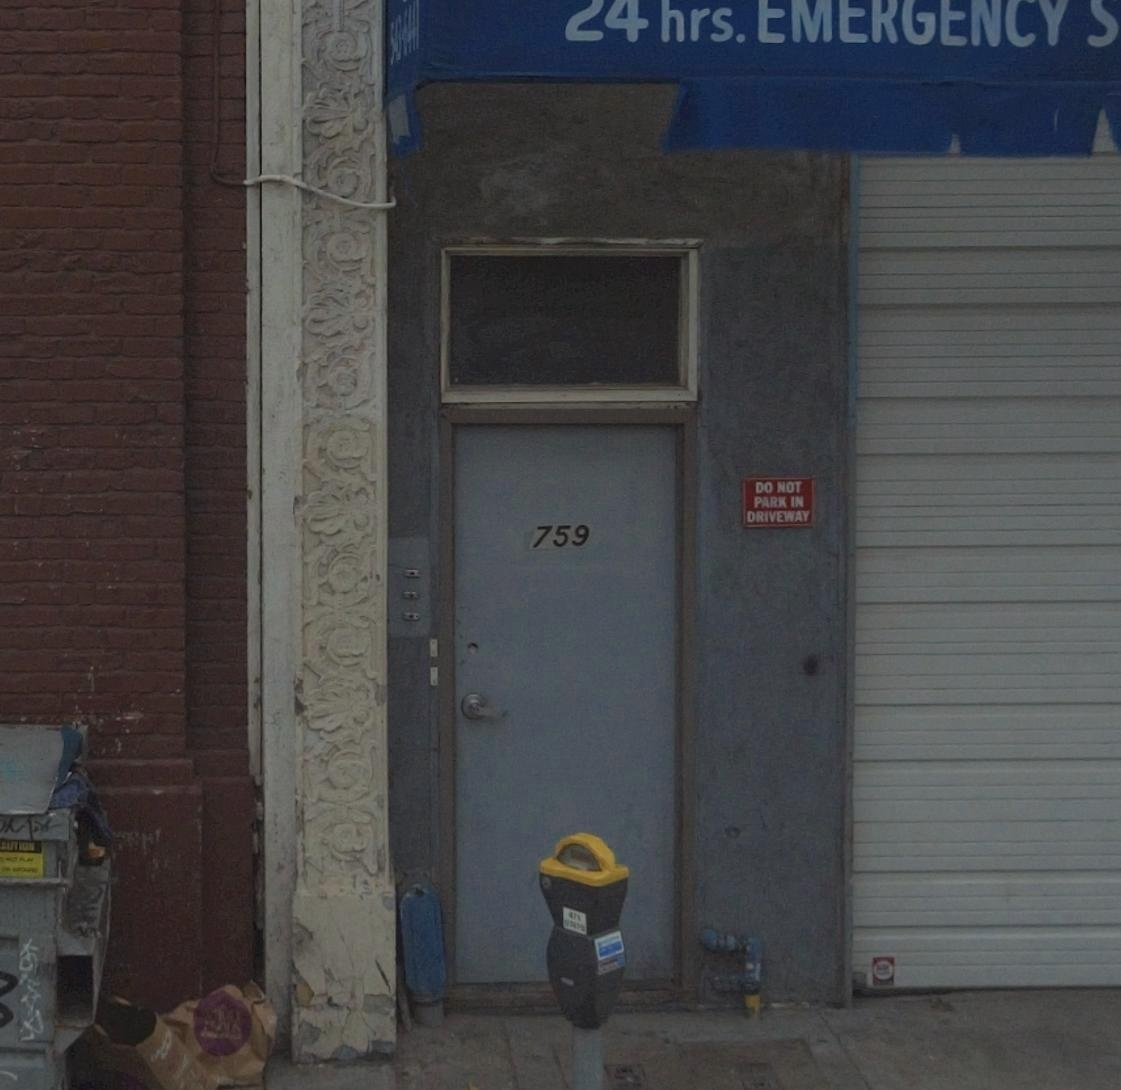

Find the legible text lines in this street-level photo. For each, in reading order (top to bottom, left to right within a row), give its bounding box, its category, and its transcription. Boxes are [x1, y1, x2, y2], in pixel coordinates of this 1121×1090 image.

[687, 4, 737, 46] None: rs
[753, 479, 804, 496] None: DO NOT
[752, 494, 806, 510] None: PARK IN
[745, 508, 812, 525] None: DRIVEWAY
[530, 523, 592, 549] StreetNumber: 759